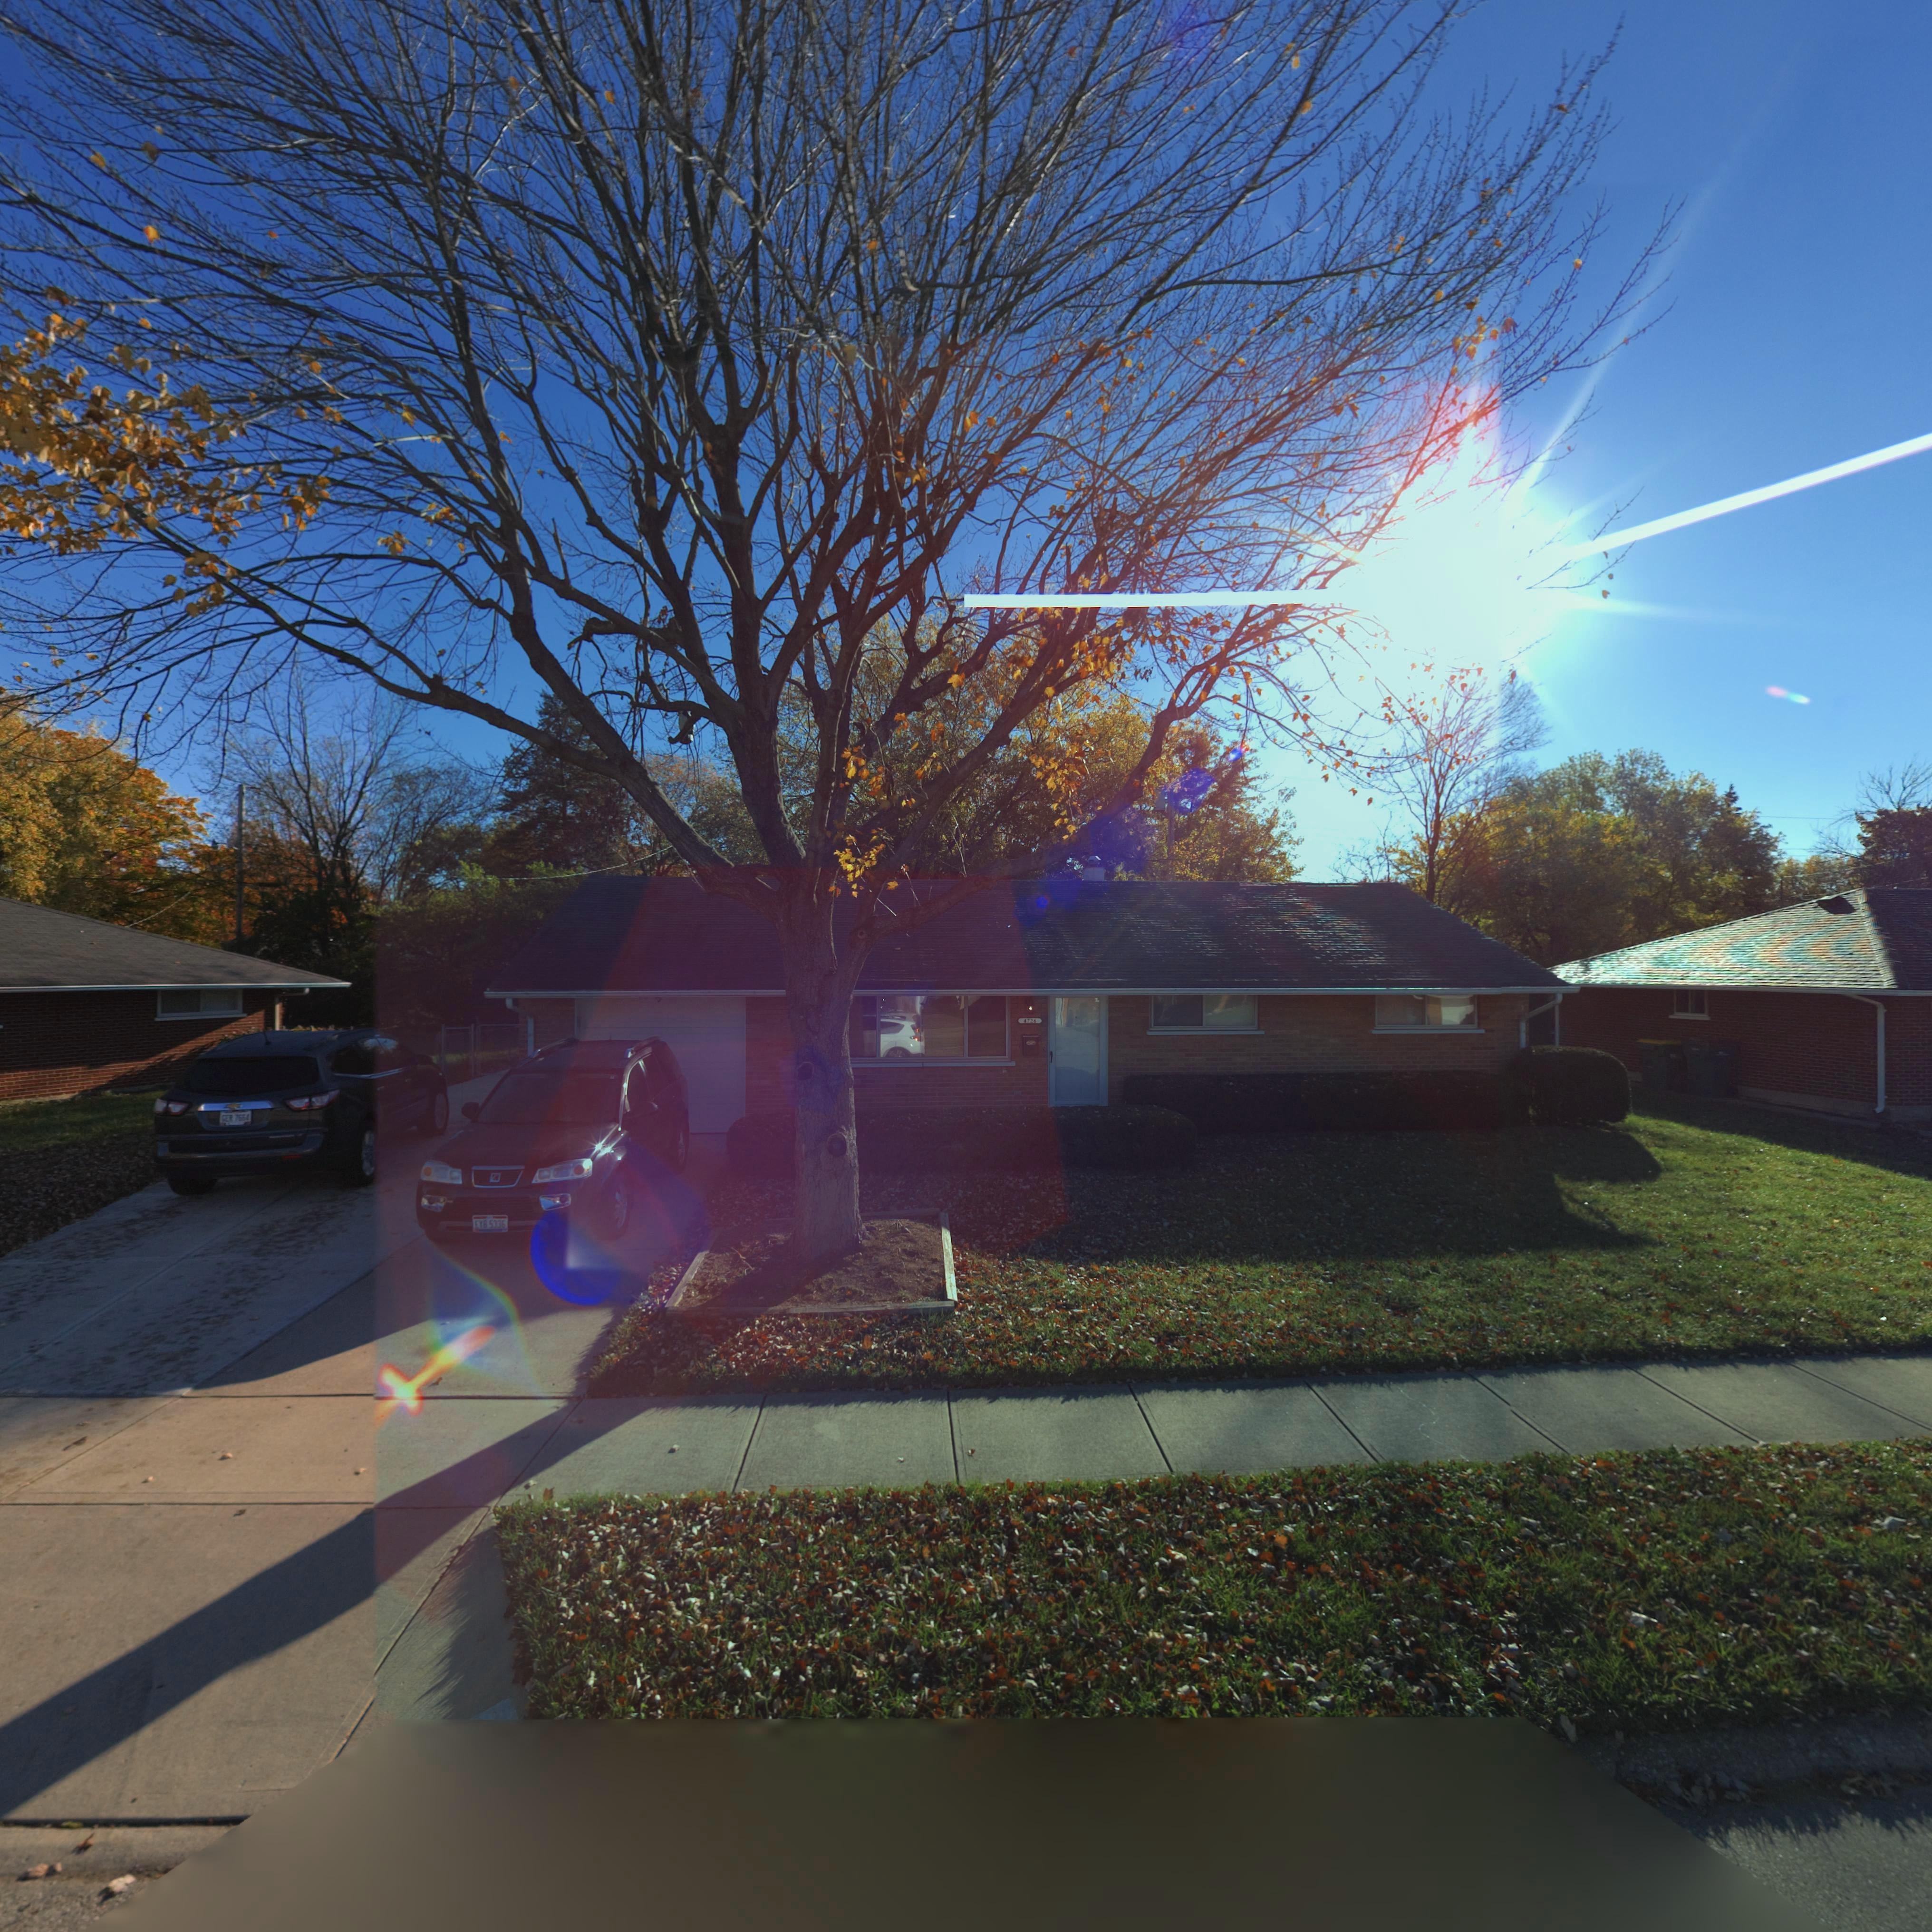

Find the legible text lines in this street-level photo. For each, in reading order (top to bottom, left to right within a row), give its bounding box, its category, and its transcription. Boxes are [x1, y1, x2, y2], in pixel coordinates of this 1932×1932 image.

[1023, 1018, 1037, 1023] StreetNumber: 4726